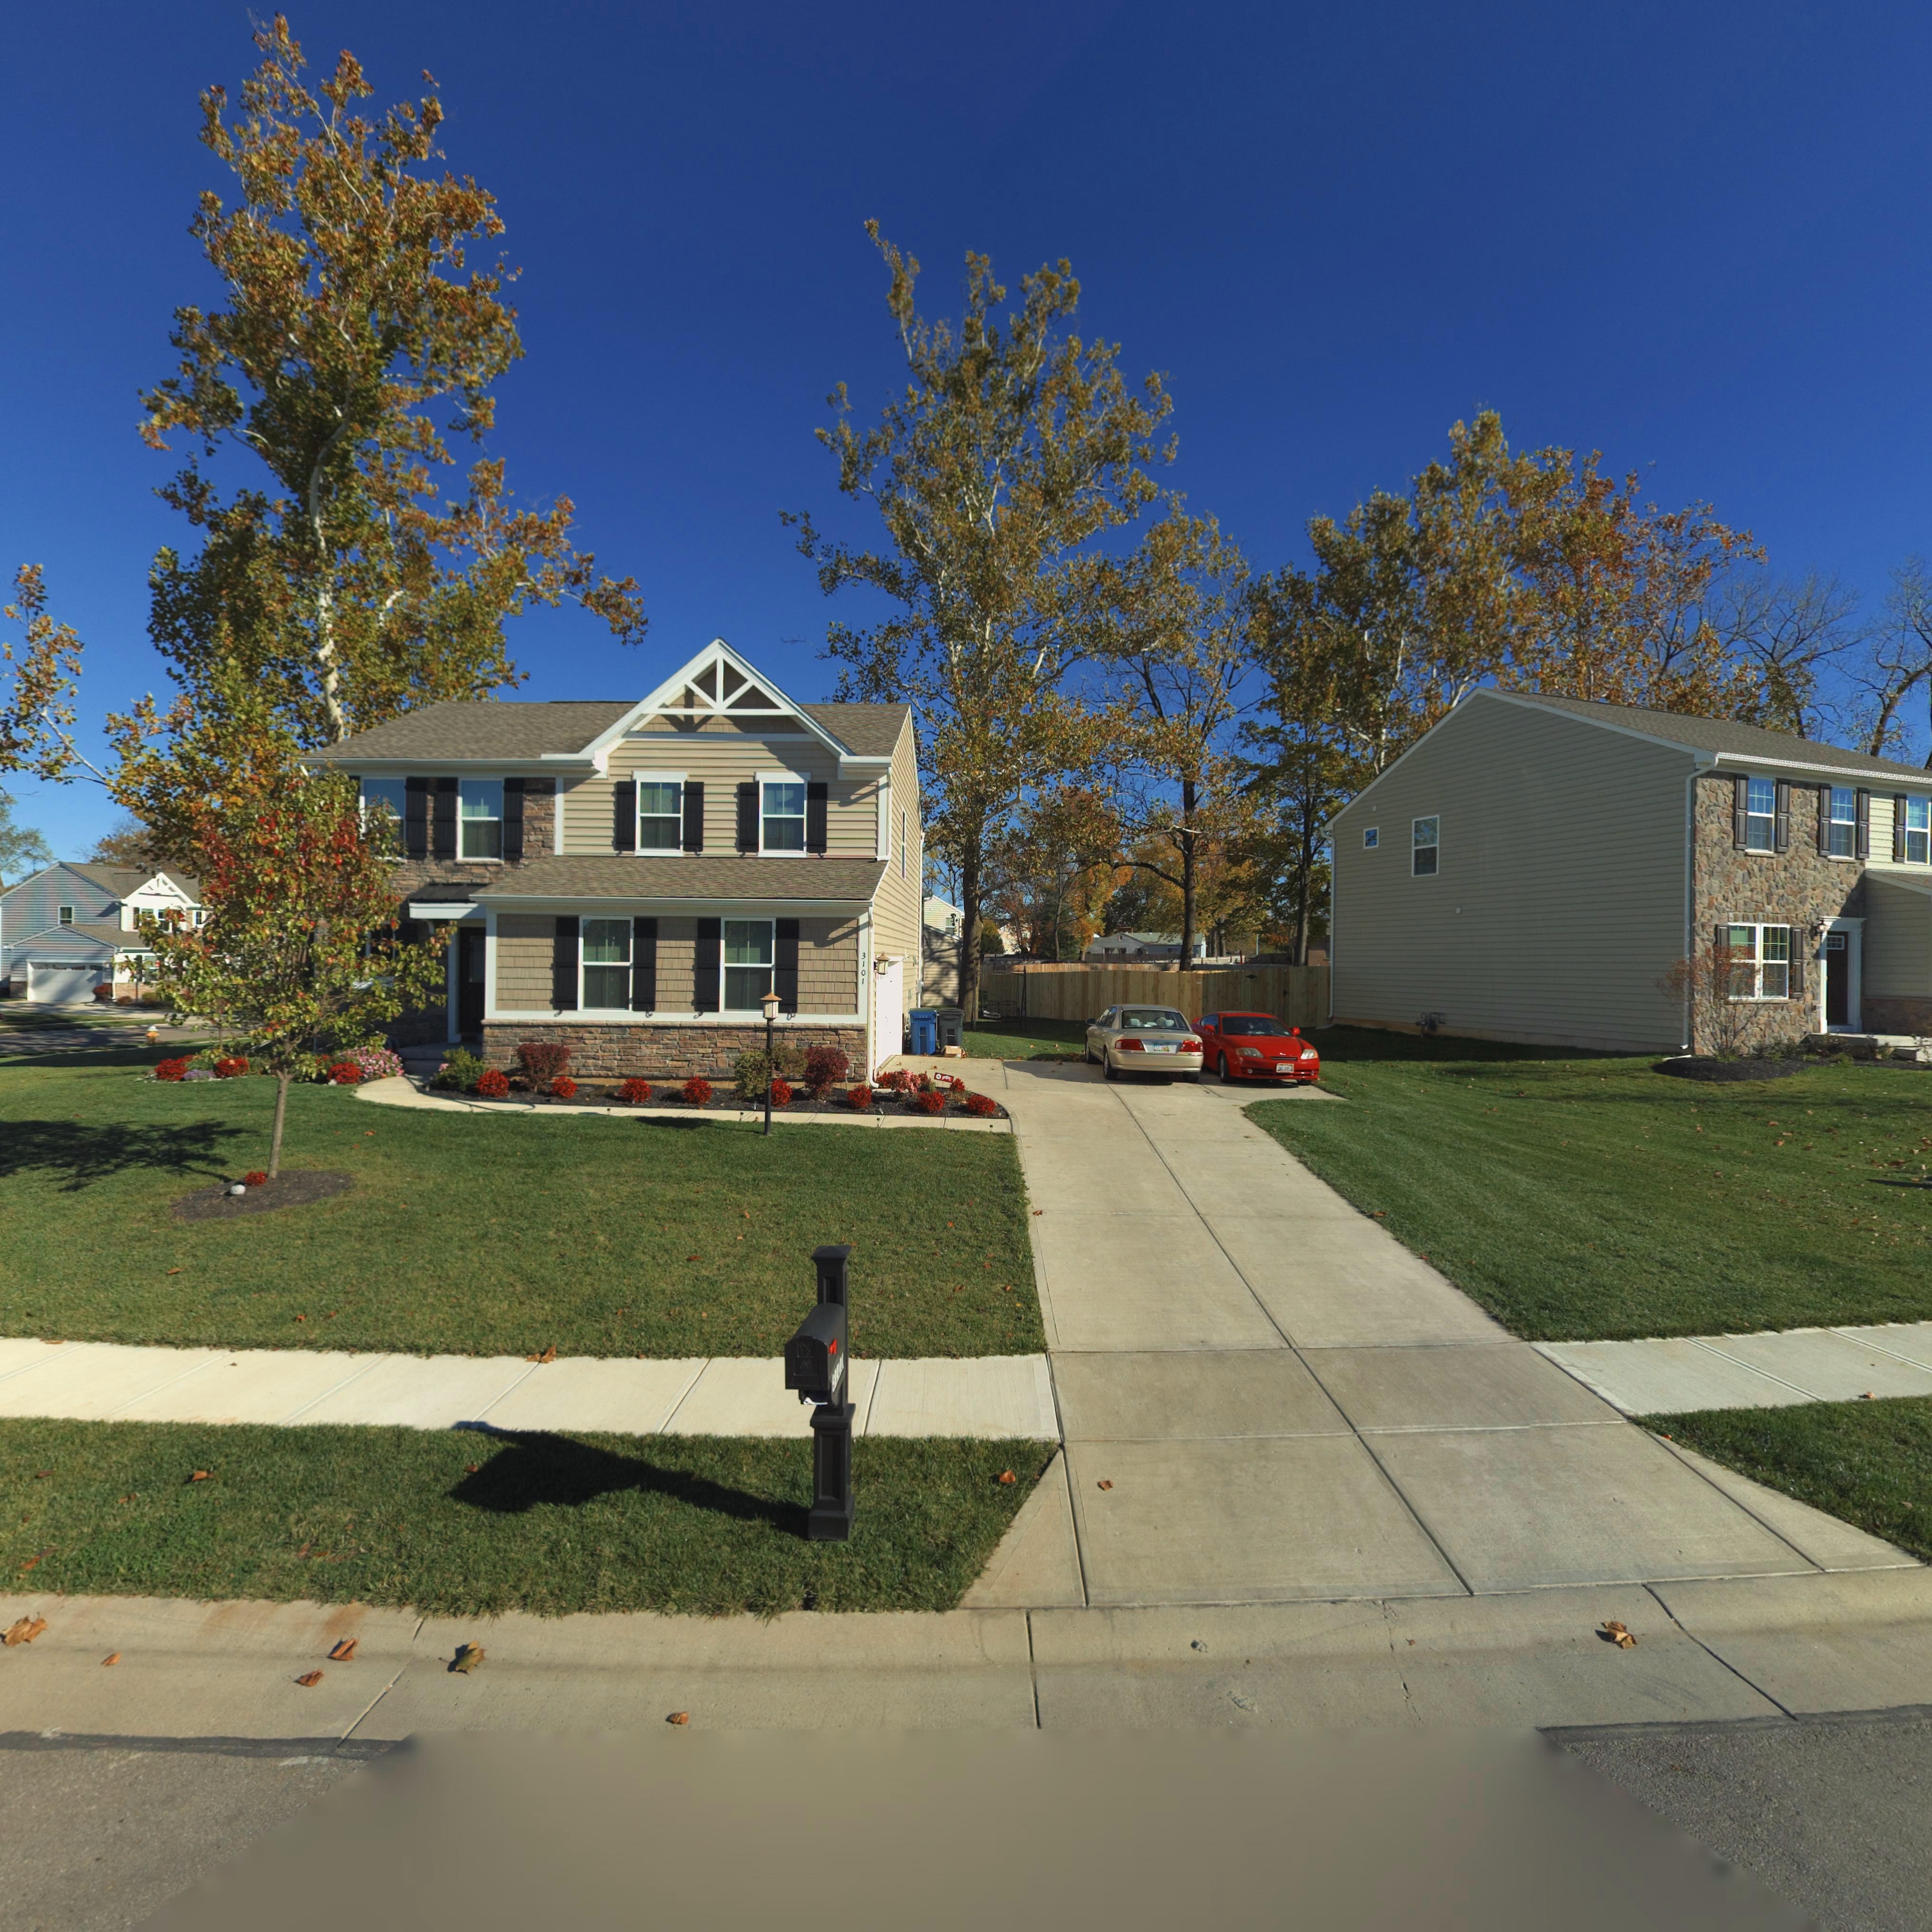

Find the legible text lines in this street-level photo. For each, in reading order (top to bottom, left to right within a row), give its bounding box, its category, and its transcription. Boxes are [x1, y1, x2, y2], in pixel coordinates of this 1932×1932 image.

[860, 951, 866, 985] StreetNumber: 3101
[832, 1353, 843, 1389] StreetNumber: 3101